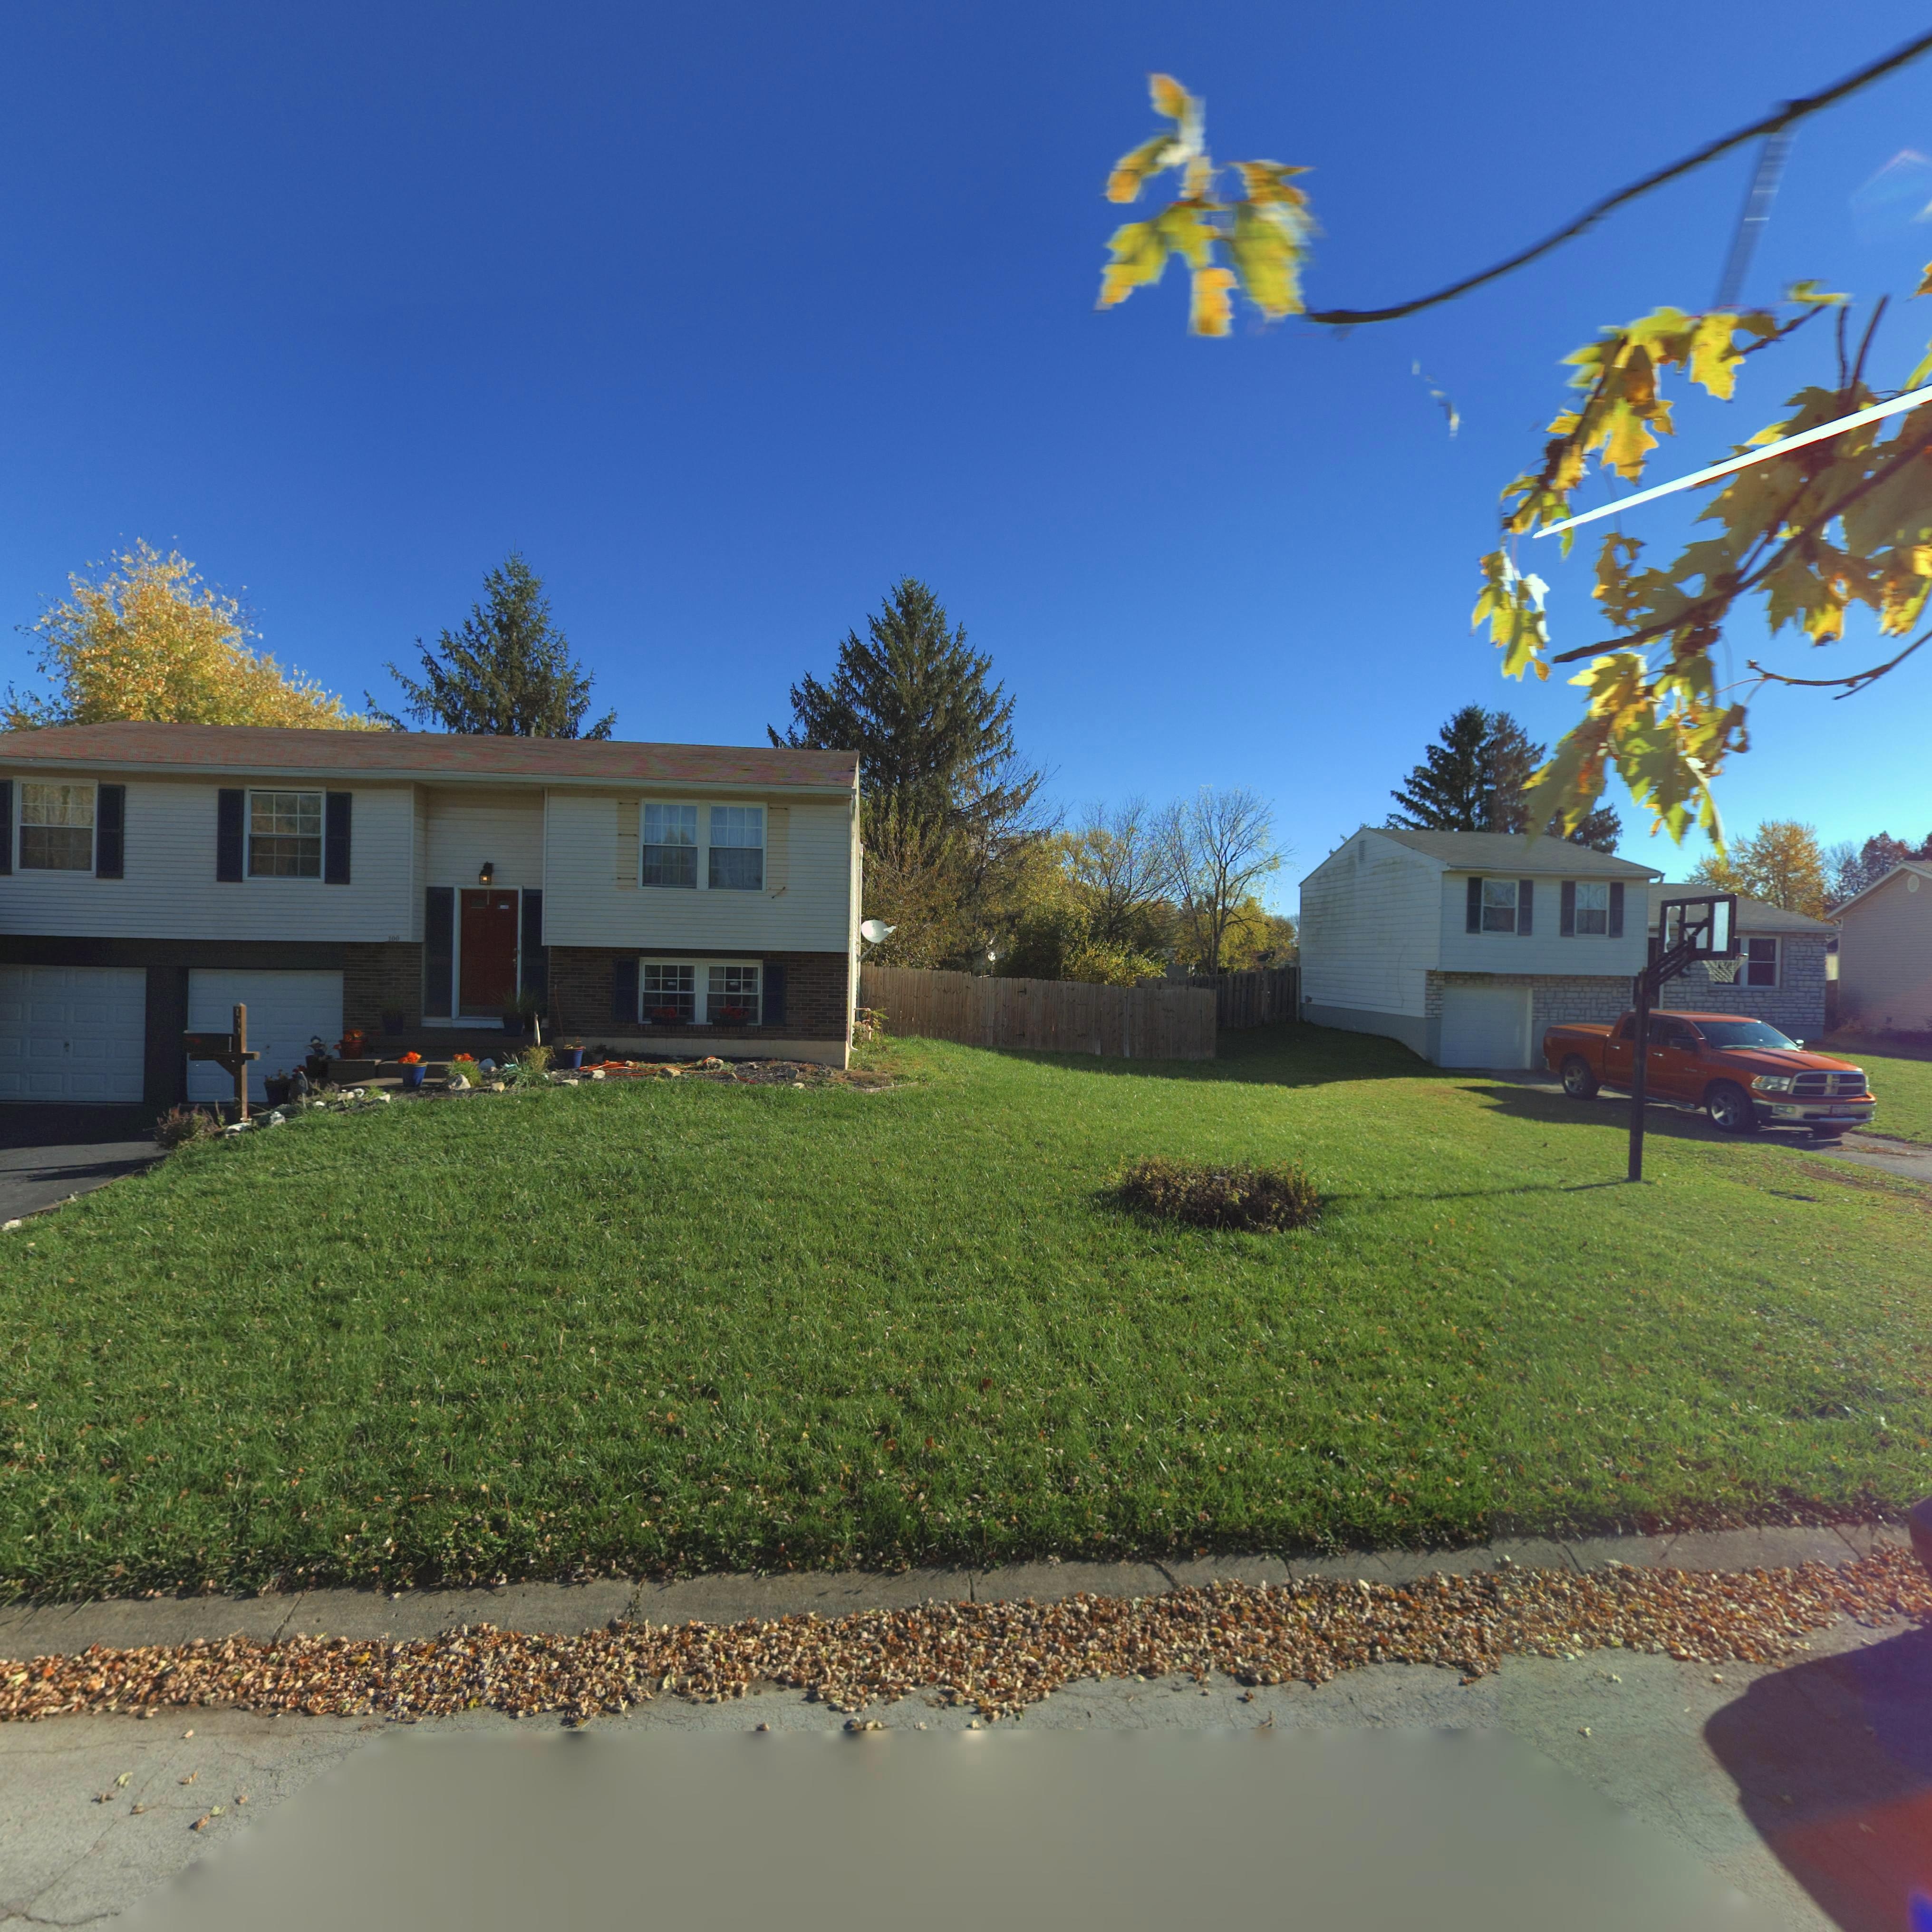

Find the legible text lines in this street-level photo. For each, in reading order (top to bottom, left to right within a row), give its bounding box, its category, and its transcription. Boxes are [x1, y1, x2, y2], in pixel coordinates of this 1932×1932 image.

[387, 936, 400, 942] StreetNumber: 100
[233, 1007, 241, 1035] StreetNumber: 100